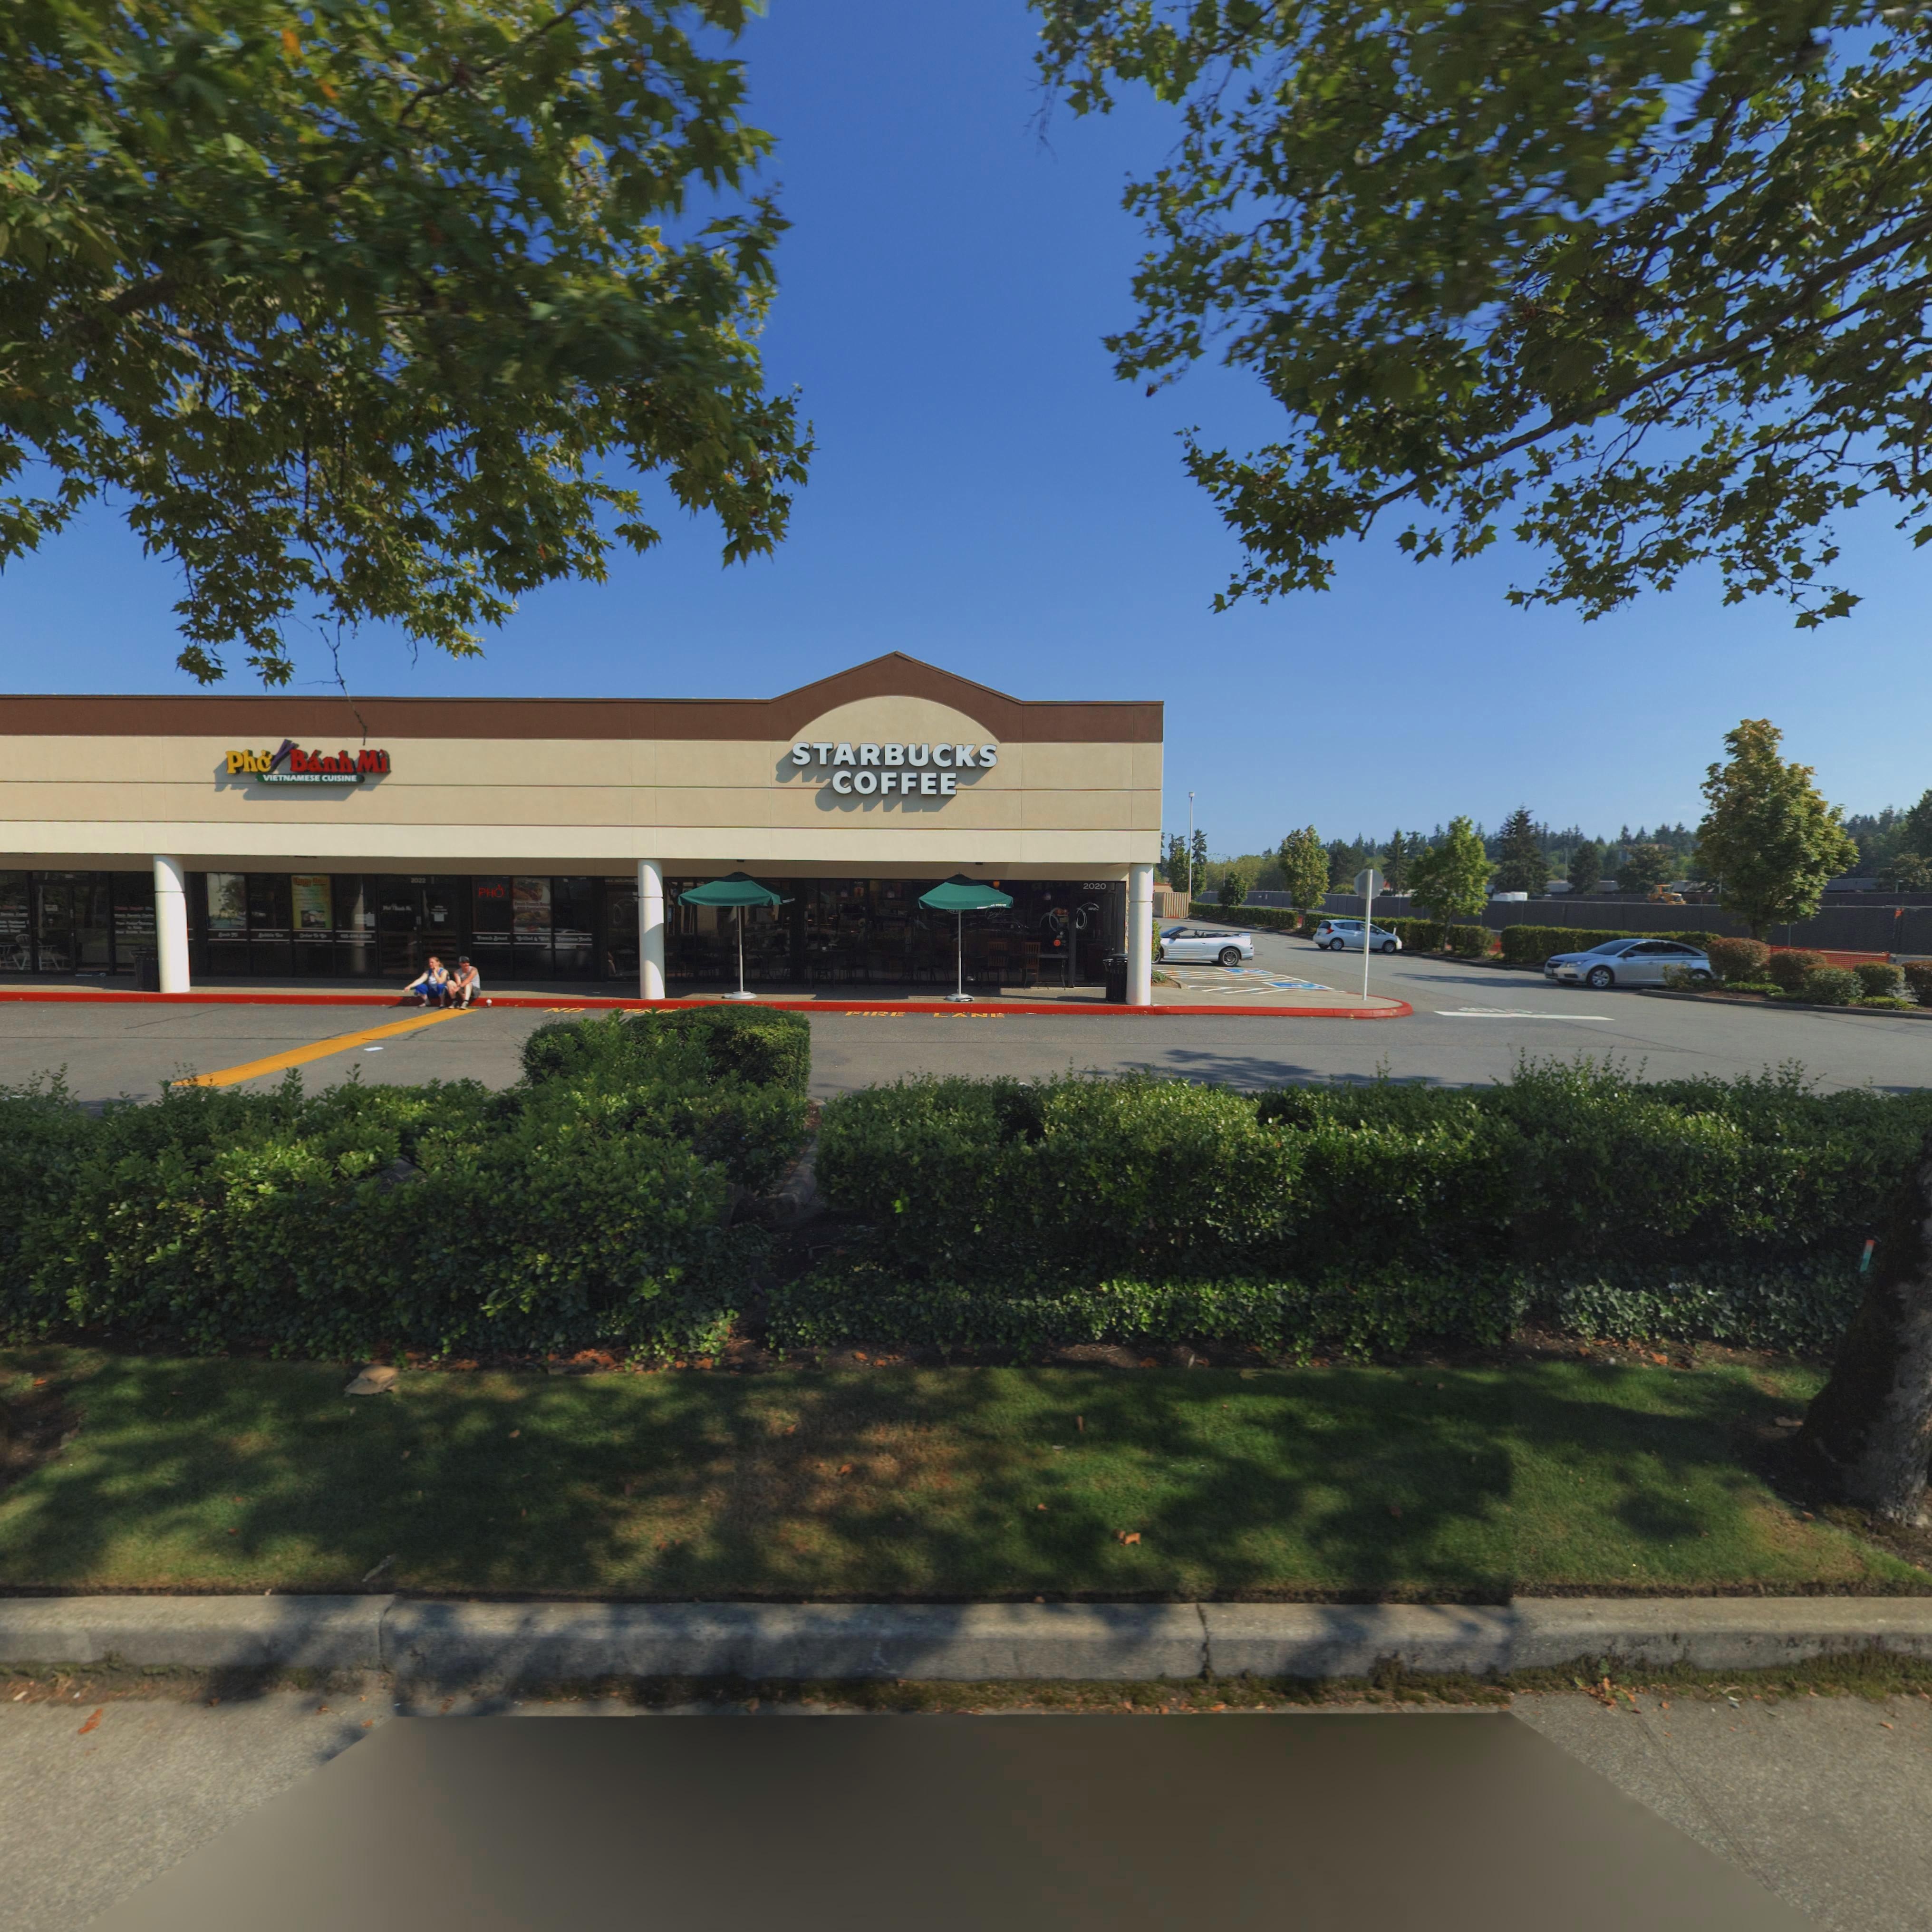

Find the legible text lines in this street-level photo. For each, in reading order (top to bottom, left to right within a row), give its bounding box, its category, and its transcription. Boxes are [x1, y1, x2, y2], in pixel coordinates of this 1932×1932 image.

[793, 743, 996, 766] BusinessName: STARBUCKS
[225, 748, 389, 774] BusinessName: Ph* B*nh Mi
[262, 774, 357, 782] None: VIETNAMESE CUISINE
[832, 770, 956, 794] BusinessName: COFFEE
[409, 877, 426, 884] BusinessName: 2022
[1082, 882, 1107, 890] BusinessName: 2020
[477, 887, 503, 898] BusinessName: PHO